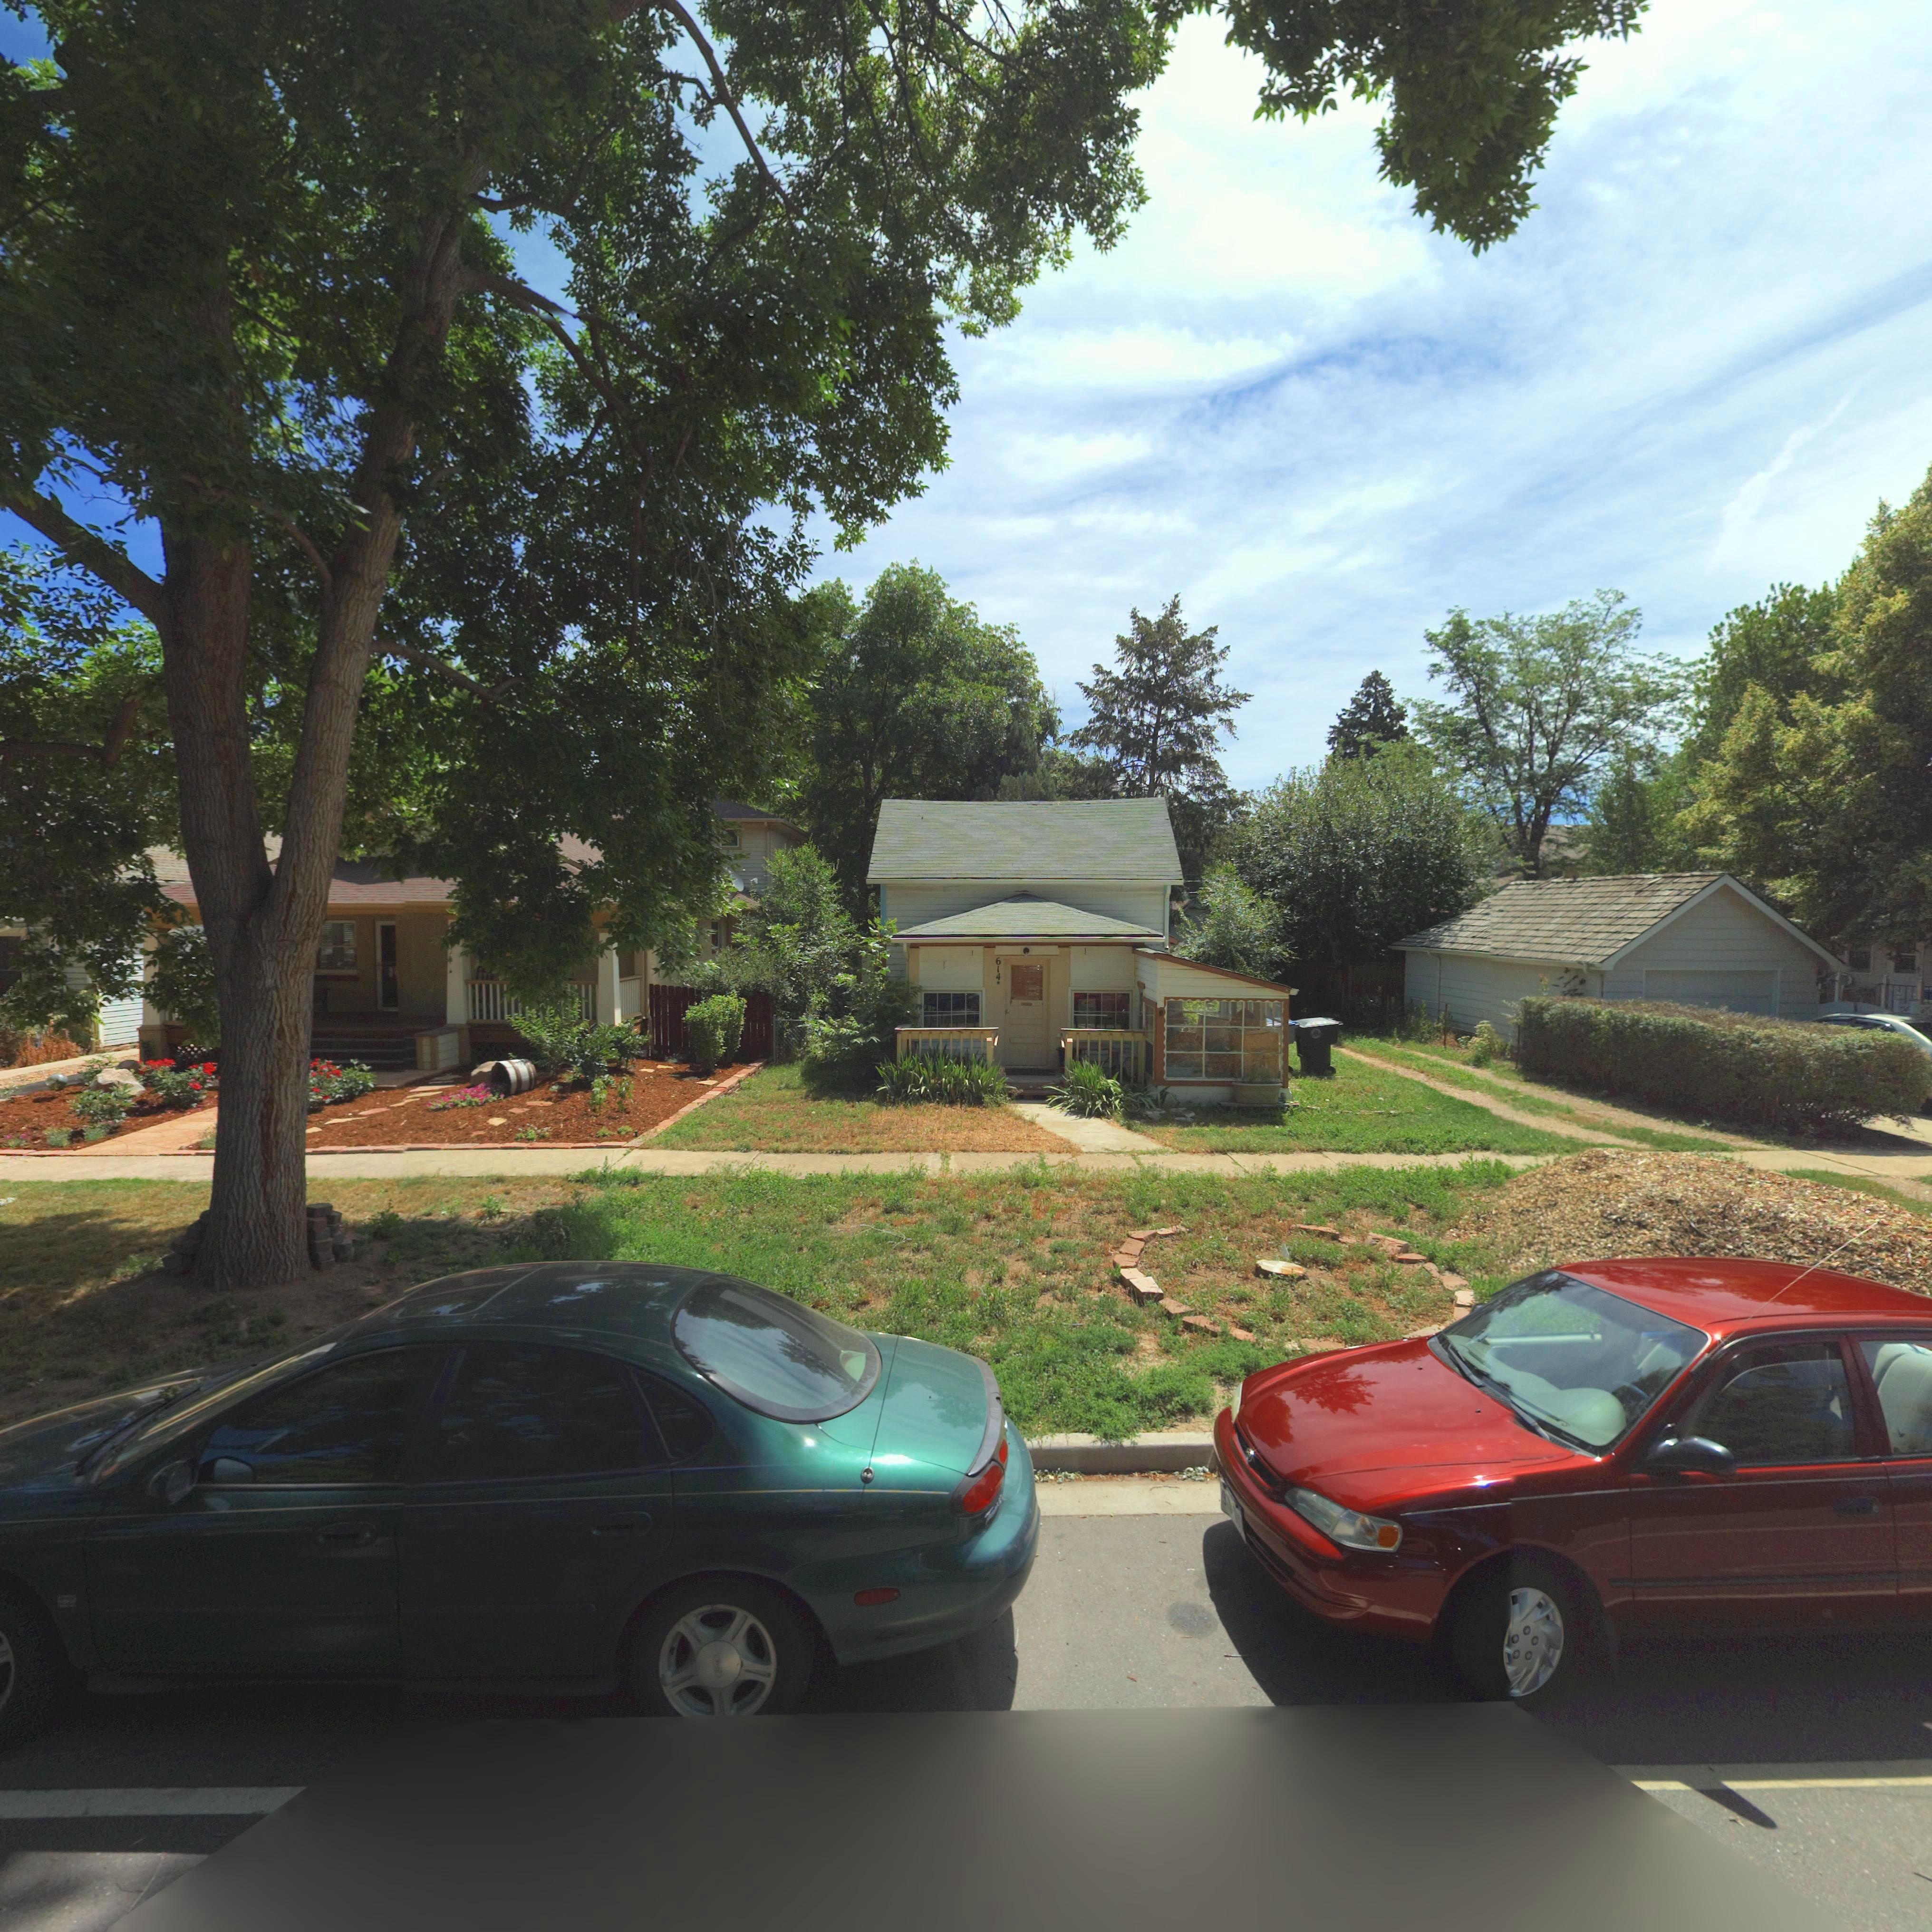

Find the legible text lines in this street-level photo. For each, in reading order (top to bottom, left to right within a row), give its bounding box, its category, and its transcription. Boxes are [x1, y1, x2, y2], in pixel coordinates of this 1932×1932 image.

[995, 956, 1001, 982] StreetNumber: 614